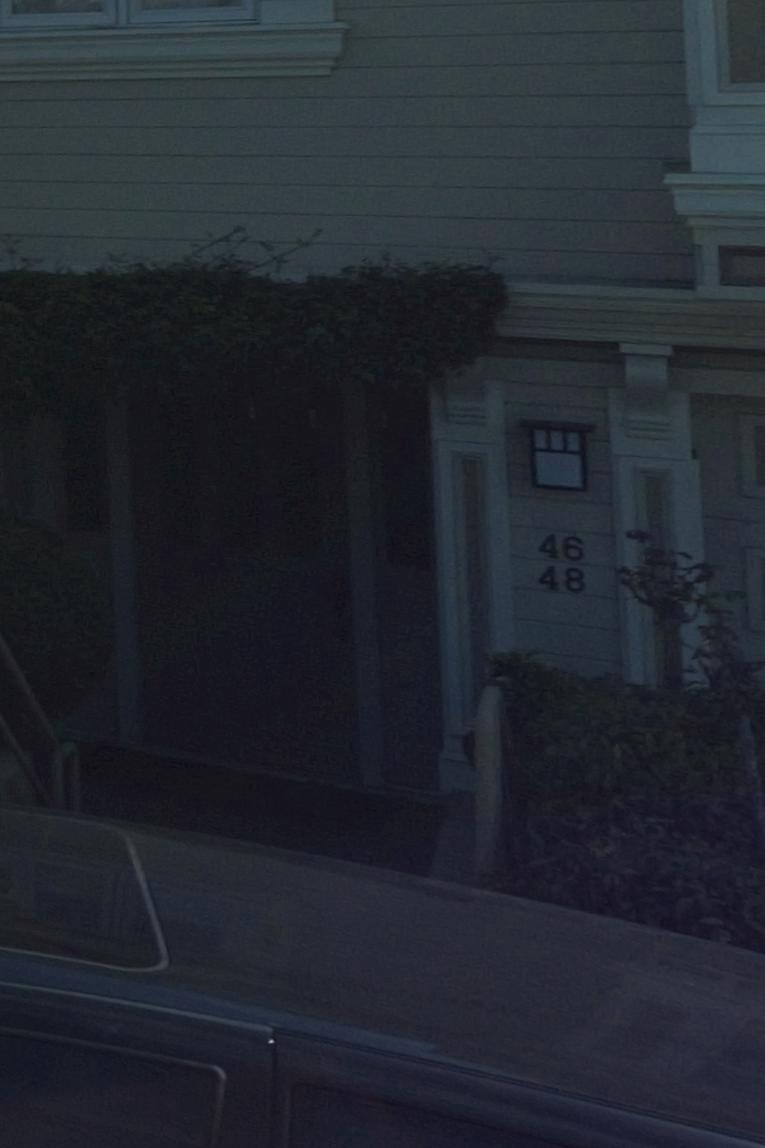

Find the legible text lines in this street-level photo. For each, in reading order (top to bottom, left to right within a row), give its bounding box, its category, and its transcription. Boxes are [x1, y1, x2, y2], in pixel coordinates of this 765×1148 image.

[536, 531, 587, 562] StreetNumber: 46
[537, 563, 588, 594] StreetNumber: 48